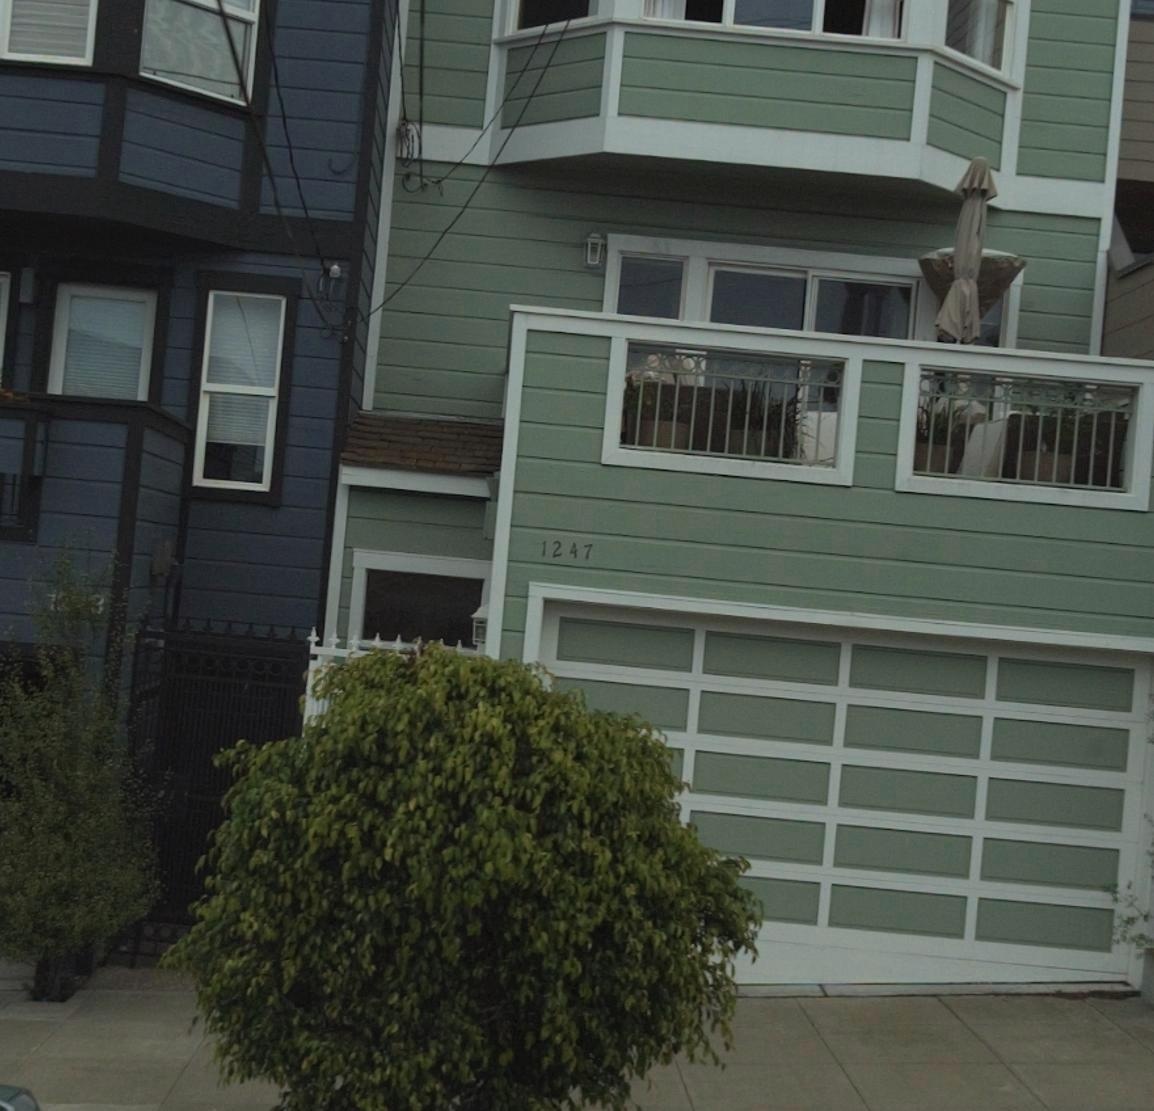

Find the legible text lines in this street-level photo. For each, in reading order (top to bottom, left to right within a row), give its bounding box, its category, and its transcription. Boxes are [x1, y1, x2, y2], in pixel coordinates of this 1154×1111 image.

[540, 539, 595, 561] StreetNumber: 1247